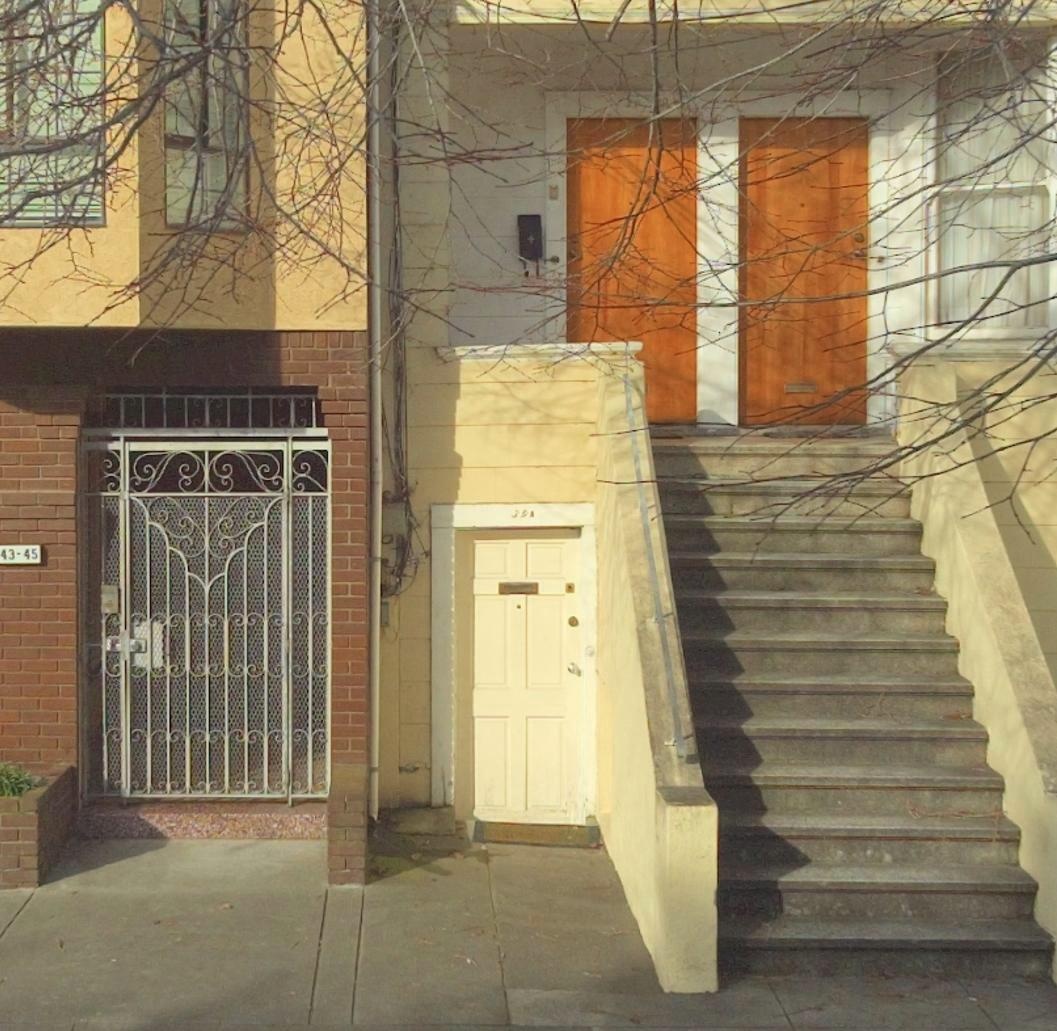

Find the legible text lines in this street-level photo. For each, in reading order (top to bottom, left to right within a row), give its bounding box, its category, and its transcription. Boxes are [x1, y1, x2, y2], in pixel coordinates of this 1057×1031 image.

[508, 507, 537, 520] StreetNumber: 39A
[0, 545, 41, 563] StreetNumber: 43-45